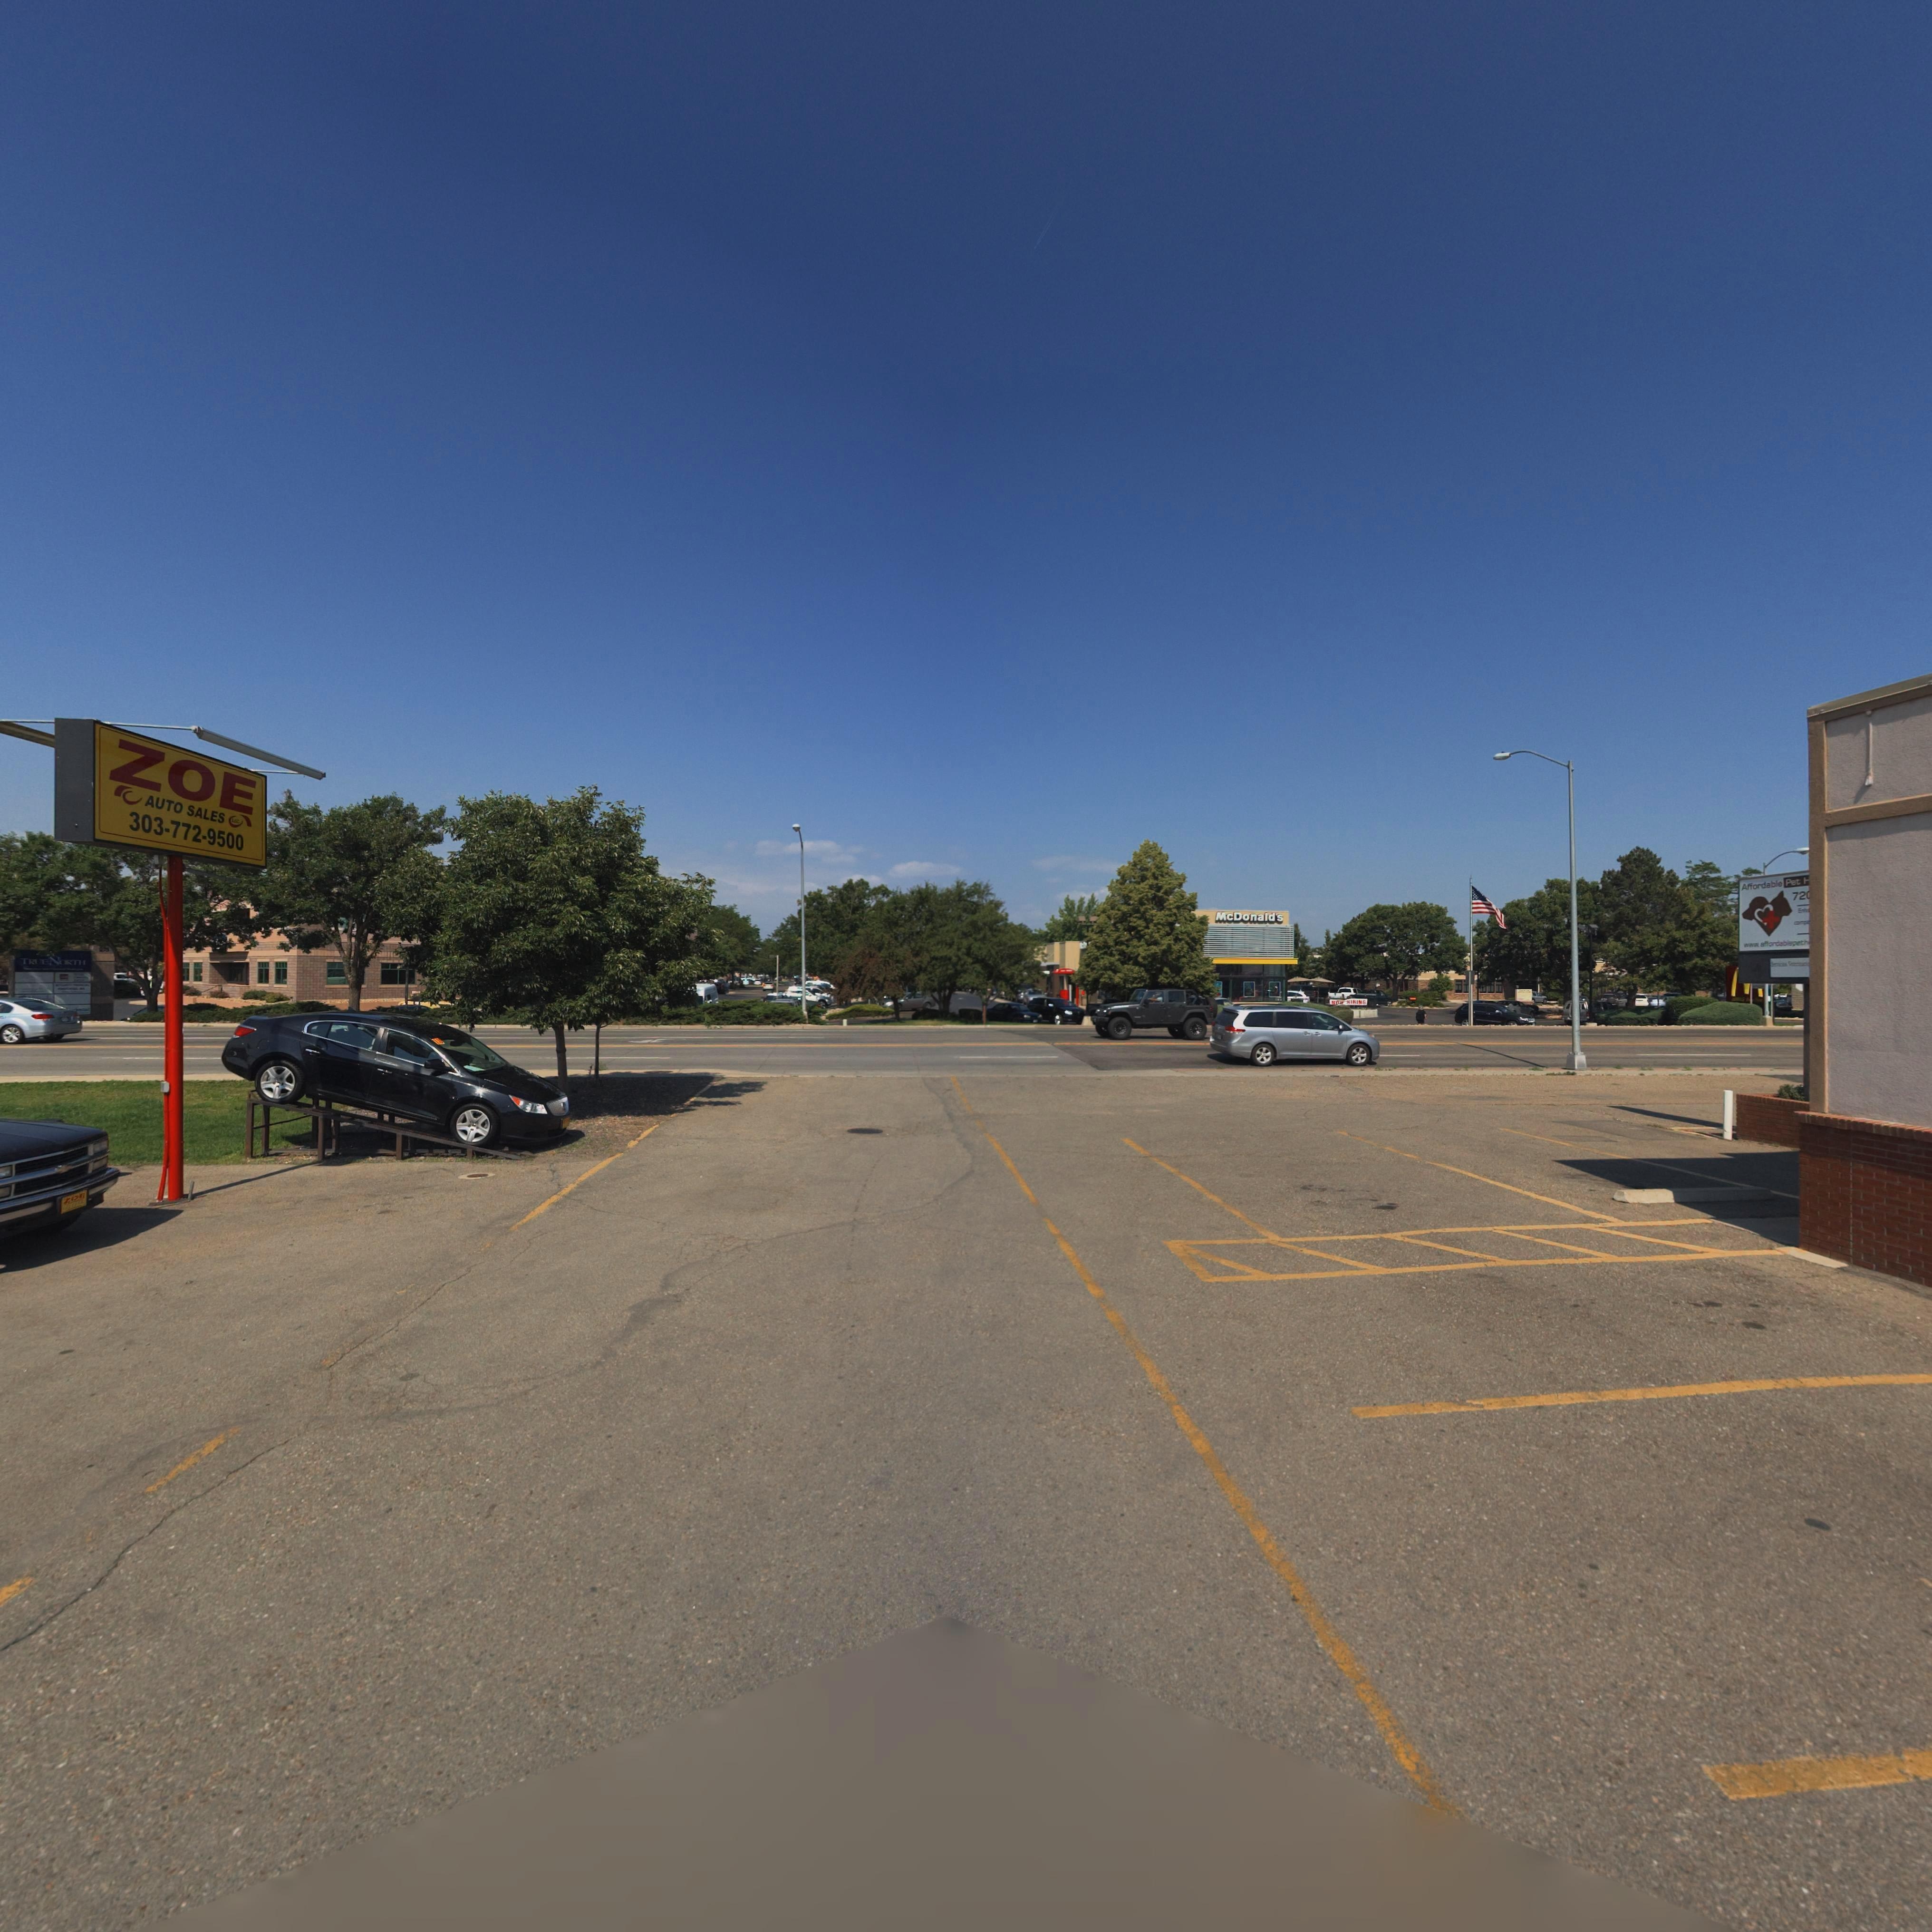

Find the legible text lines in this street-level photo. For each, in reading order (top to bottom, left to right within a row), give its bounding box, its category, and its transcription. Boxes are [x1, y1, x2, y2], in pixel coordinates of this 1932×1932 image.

[107, 737, 257, 817] BusinessName: ZOE
[143, 793, 226, 825] BusinessName: AUTO SALES
[1740, 876, 1808, 891] BusinessName: Affordable Pet *
[1215, 911, 1284, 922] BusinessName: McDonald's